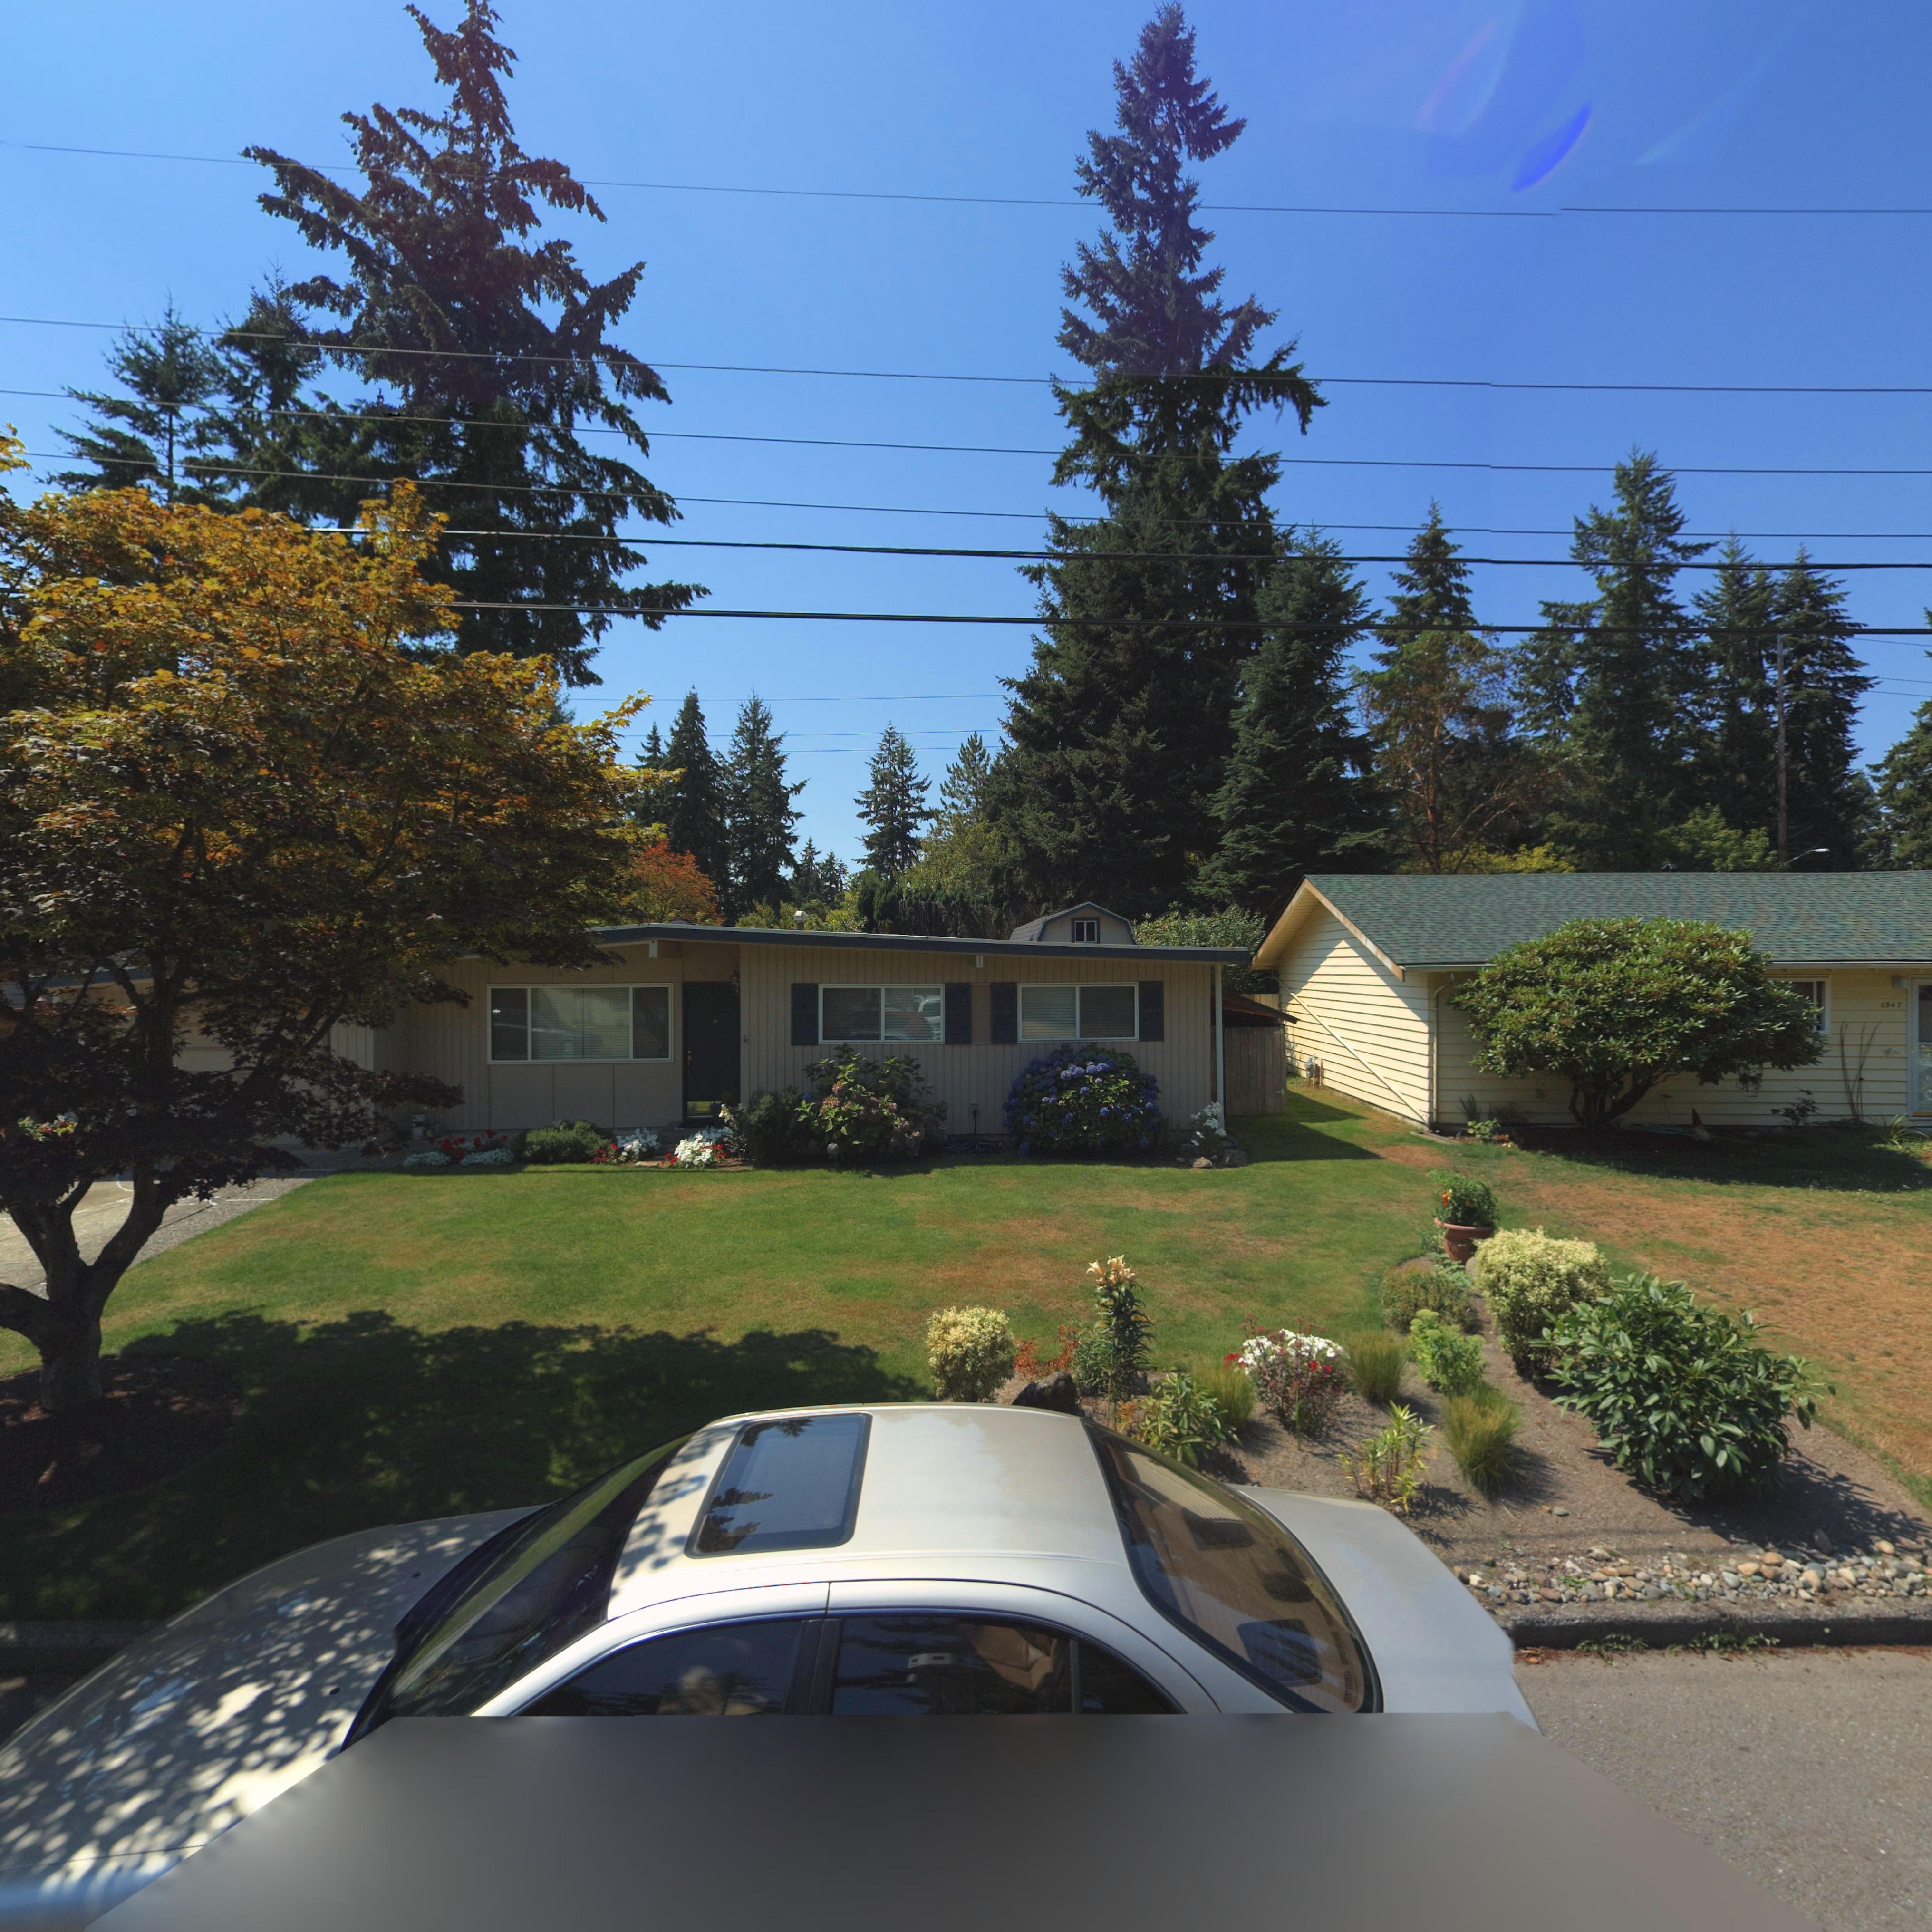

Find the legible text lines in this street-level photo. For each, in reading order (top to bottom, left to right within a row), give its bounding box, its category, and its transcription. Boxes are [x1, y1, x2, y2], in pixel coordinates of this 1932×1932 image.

[1881, 1001, 1903, 1009] StreetNumber: 1347